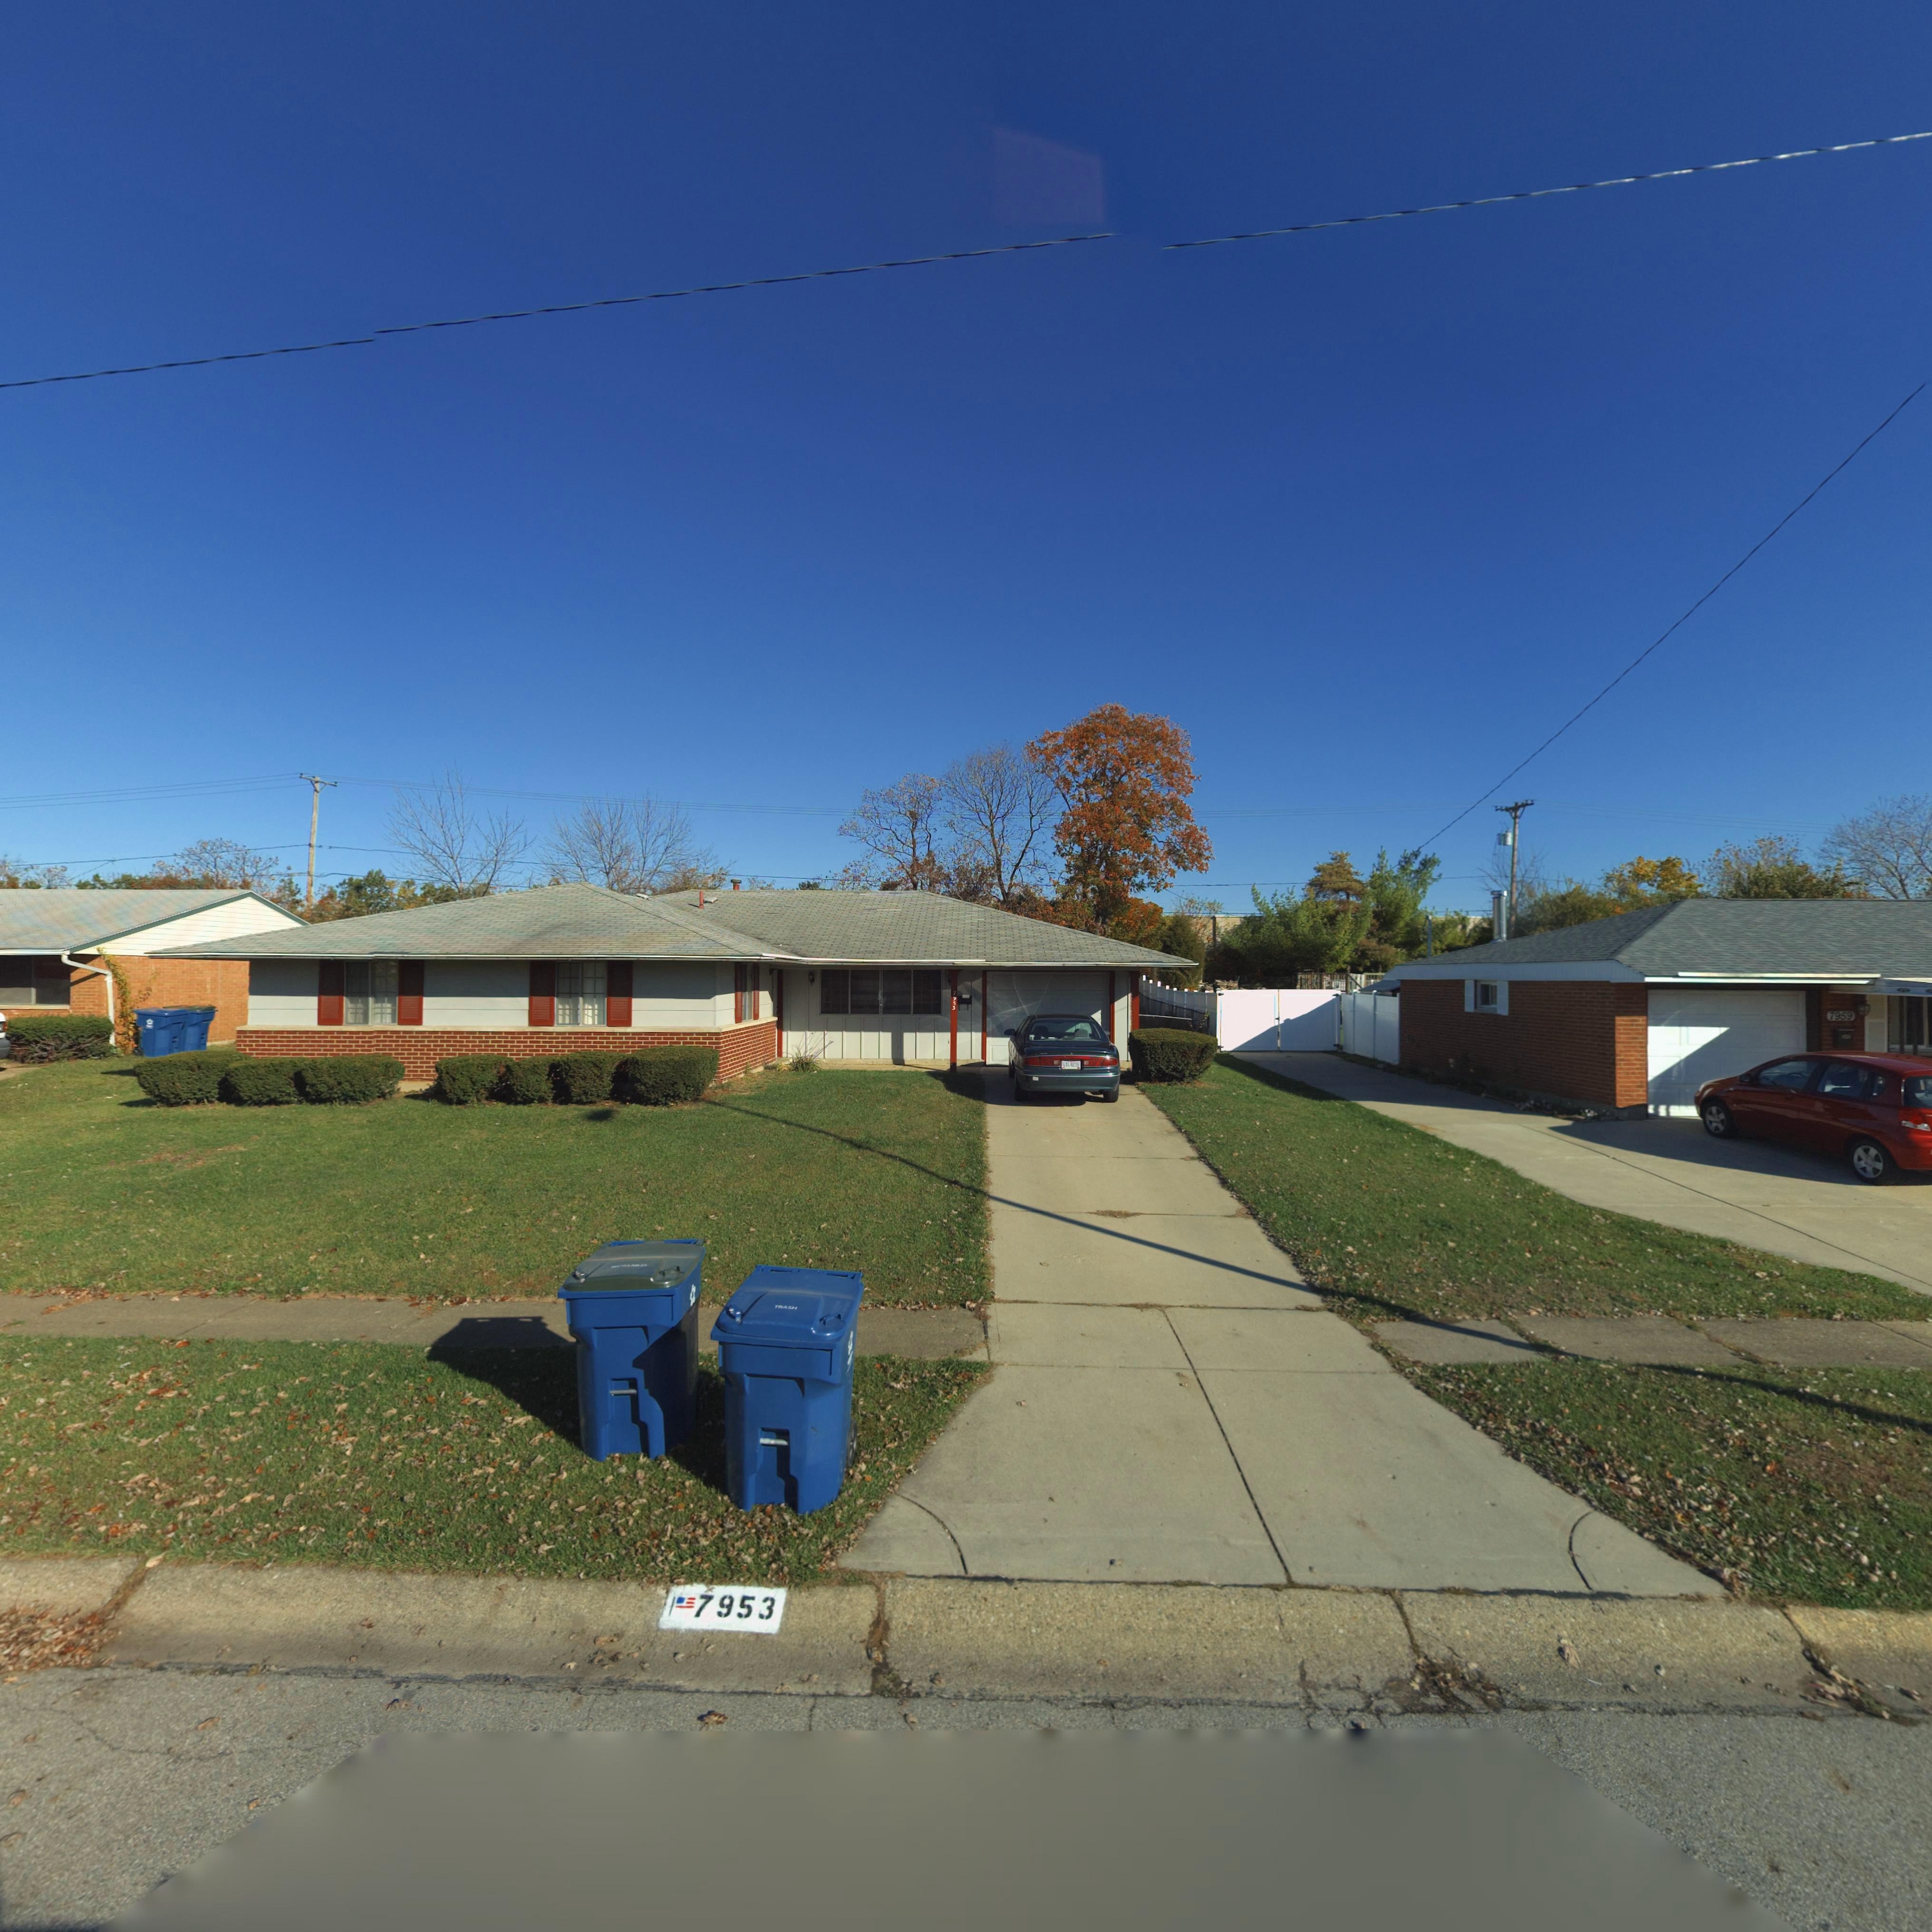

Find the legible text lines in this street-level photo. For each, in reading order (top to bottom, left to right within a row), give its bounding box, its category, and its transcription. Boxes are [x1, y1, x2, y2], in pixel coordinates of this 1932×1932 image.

[951, 990, 957, 1012] StreetNumber: 79**
[1828, 1010, 1854, 1022] StreetNumber: 7959
[691, 1592, 778, 1622] StreetNumber: 7953